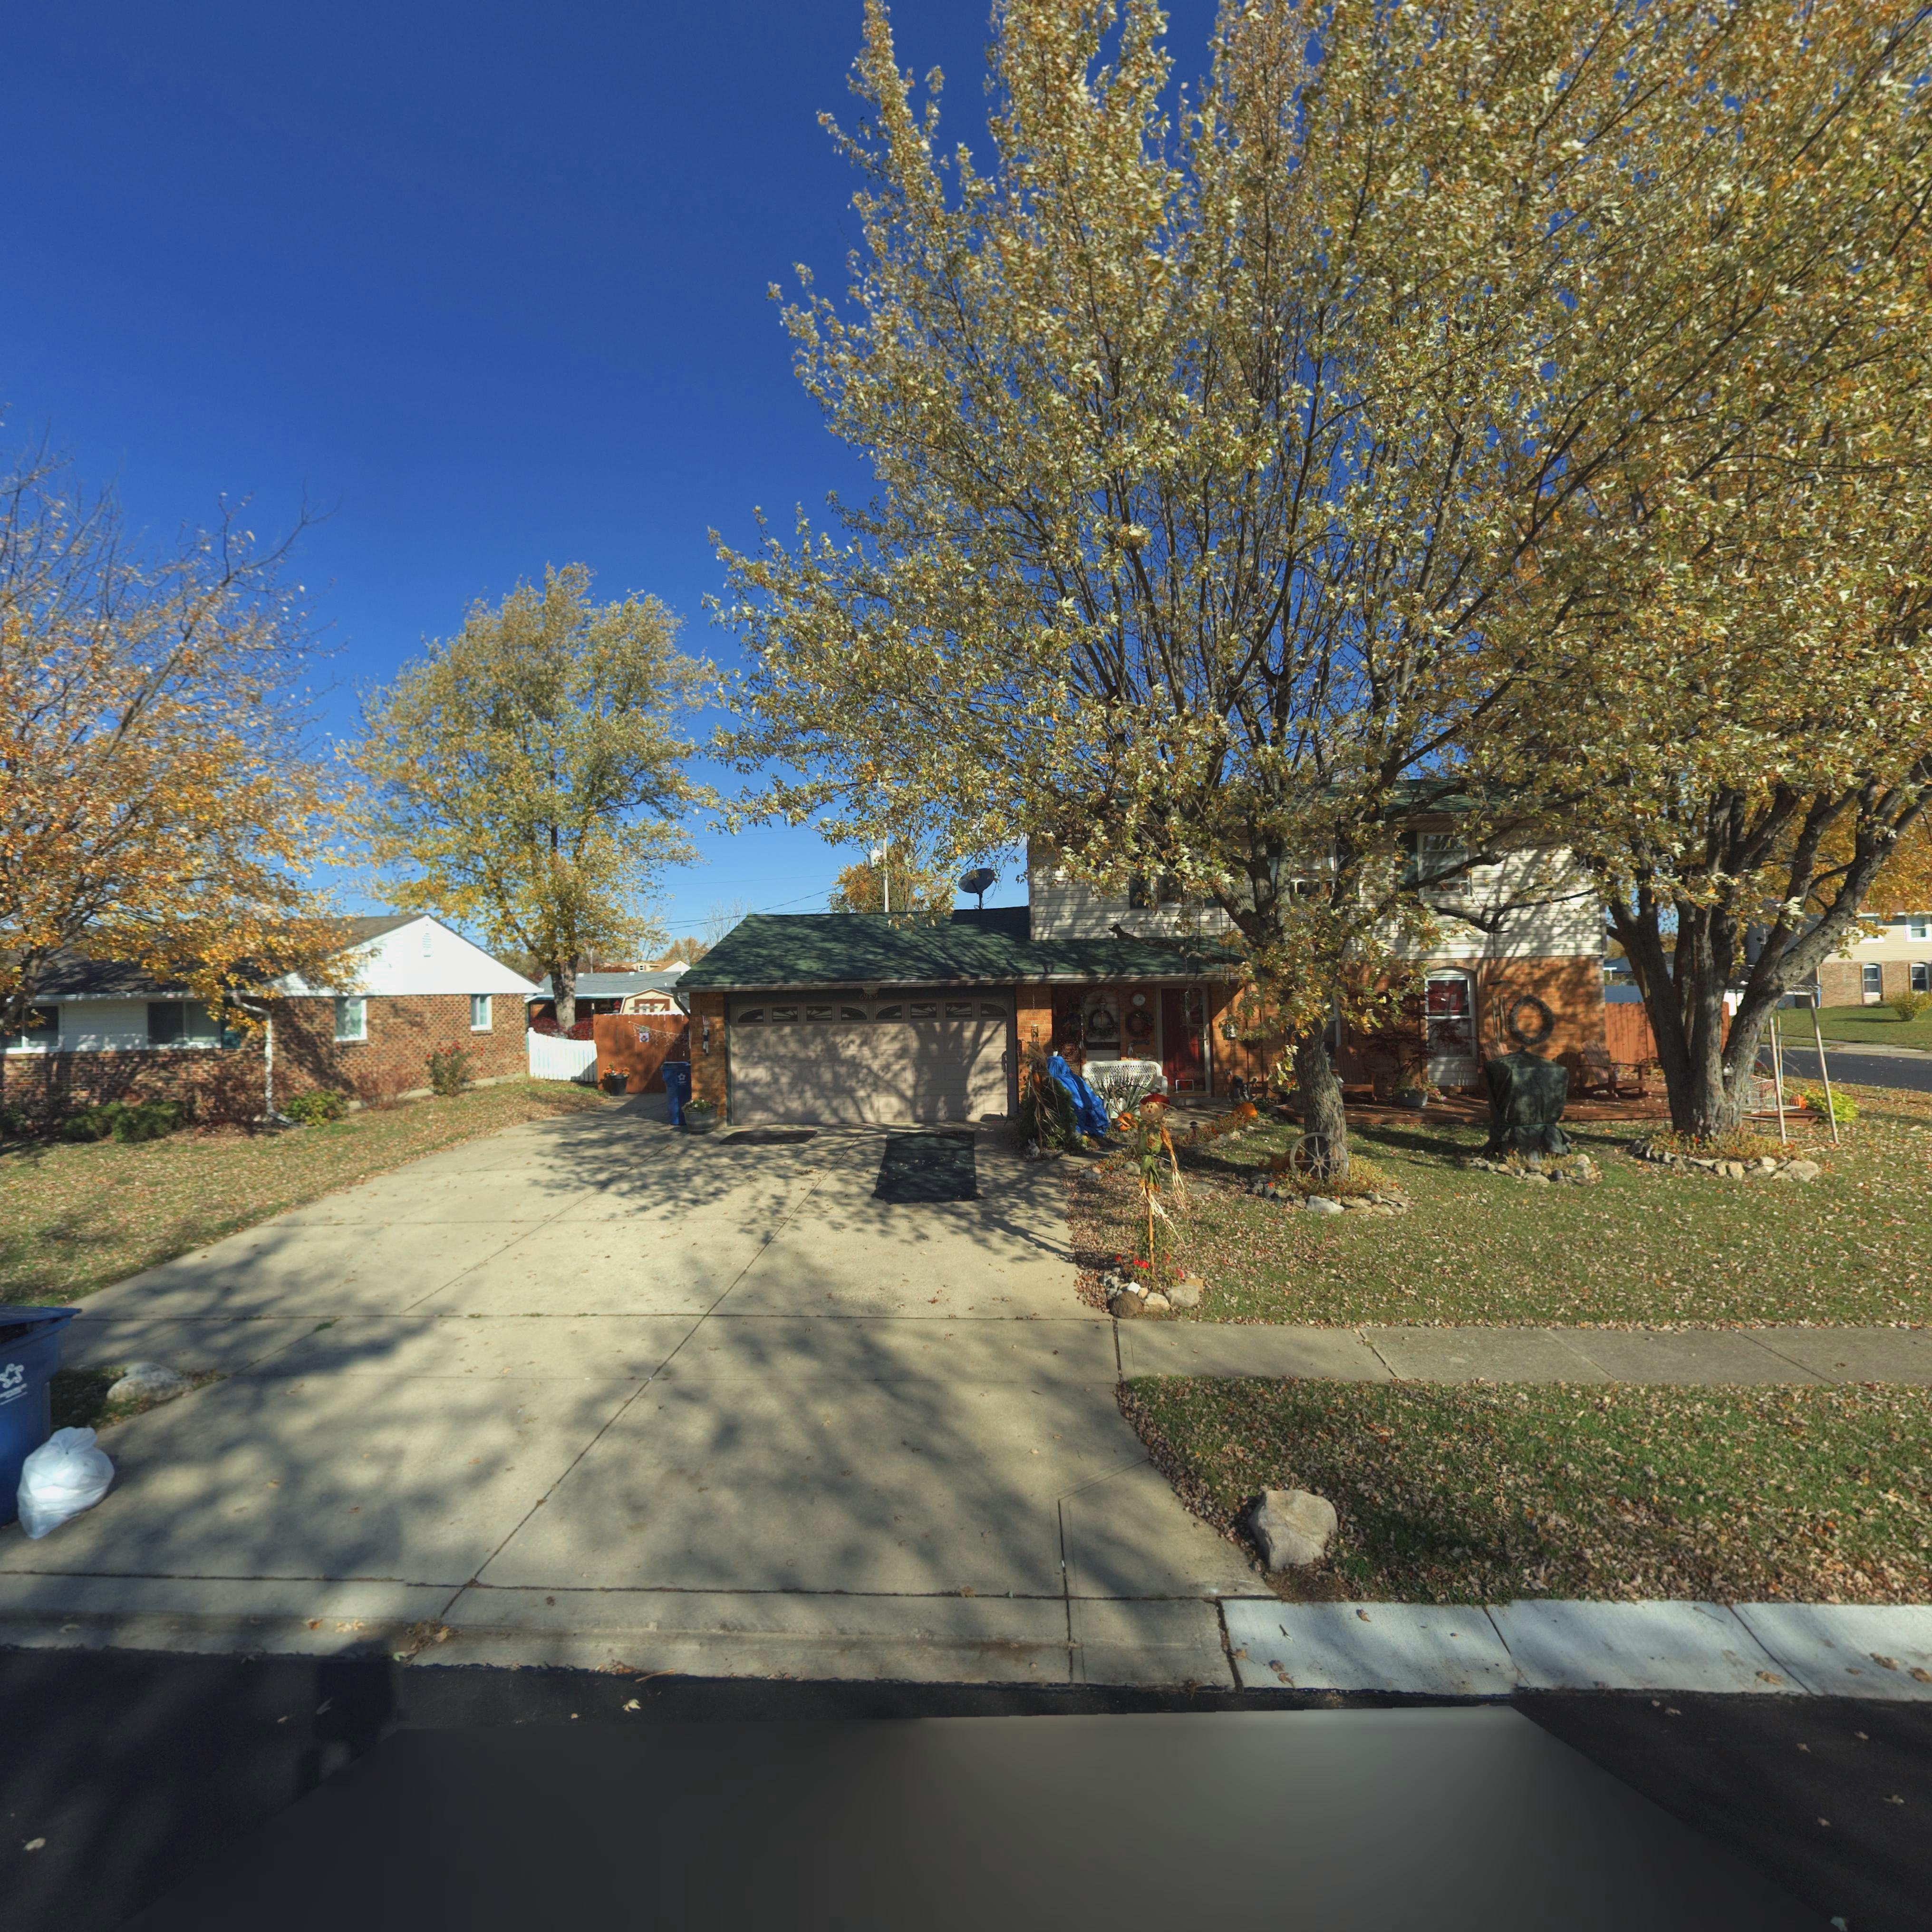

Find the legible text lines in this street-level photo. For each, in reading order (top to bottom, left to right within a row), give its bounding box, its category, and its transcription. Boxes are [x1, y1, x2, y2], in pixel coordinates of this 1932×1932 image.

[858, 993, 879, 1001] StreetNumber: 6989